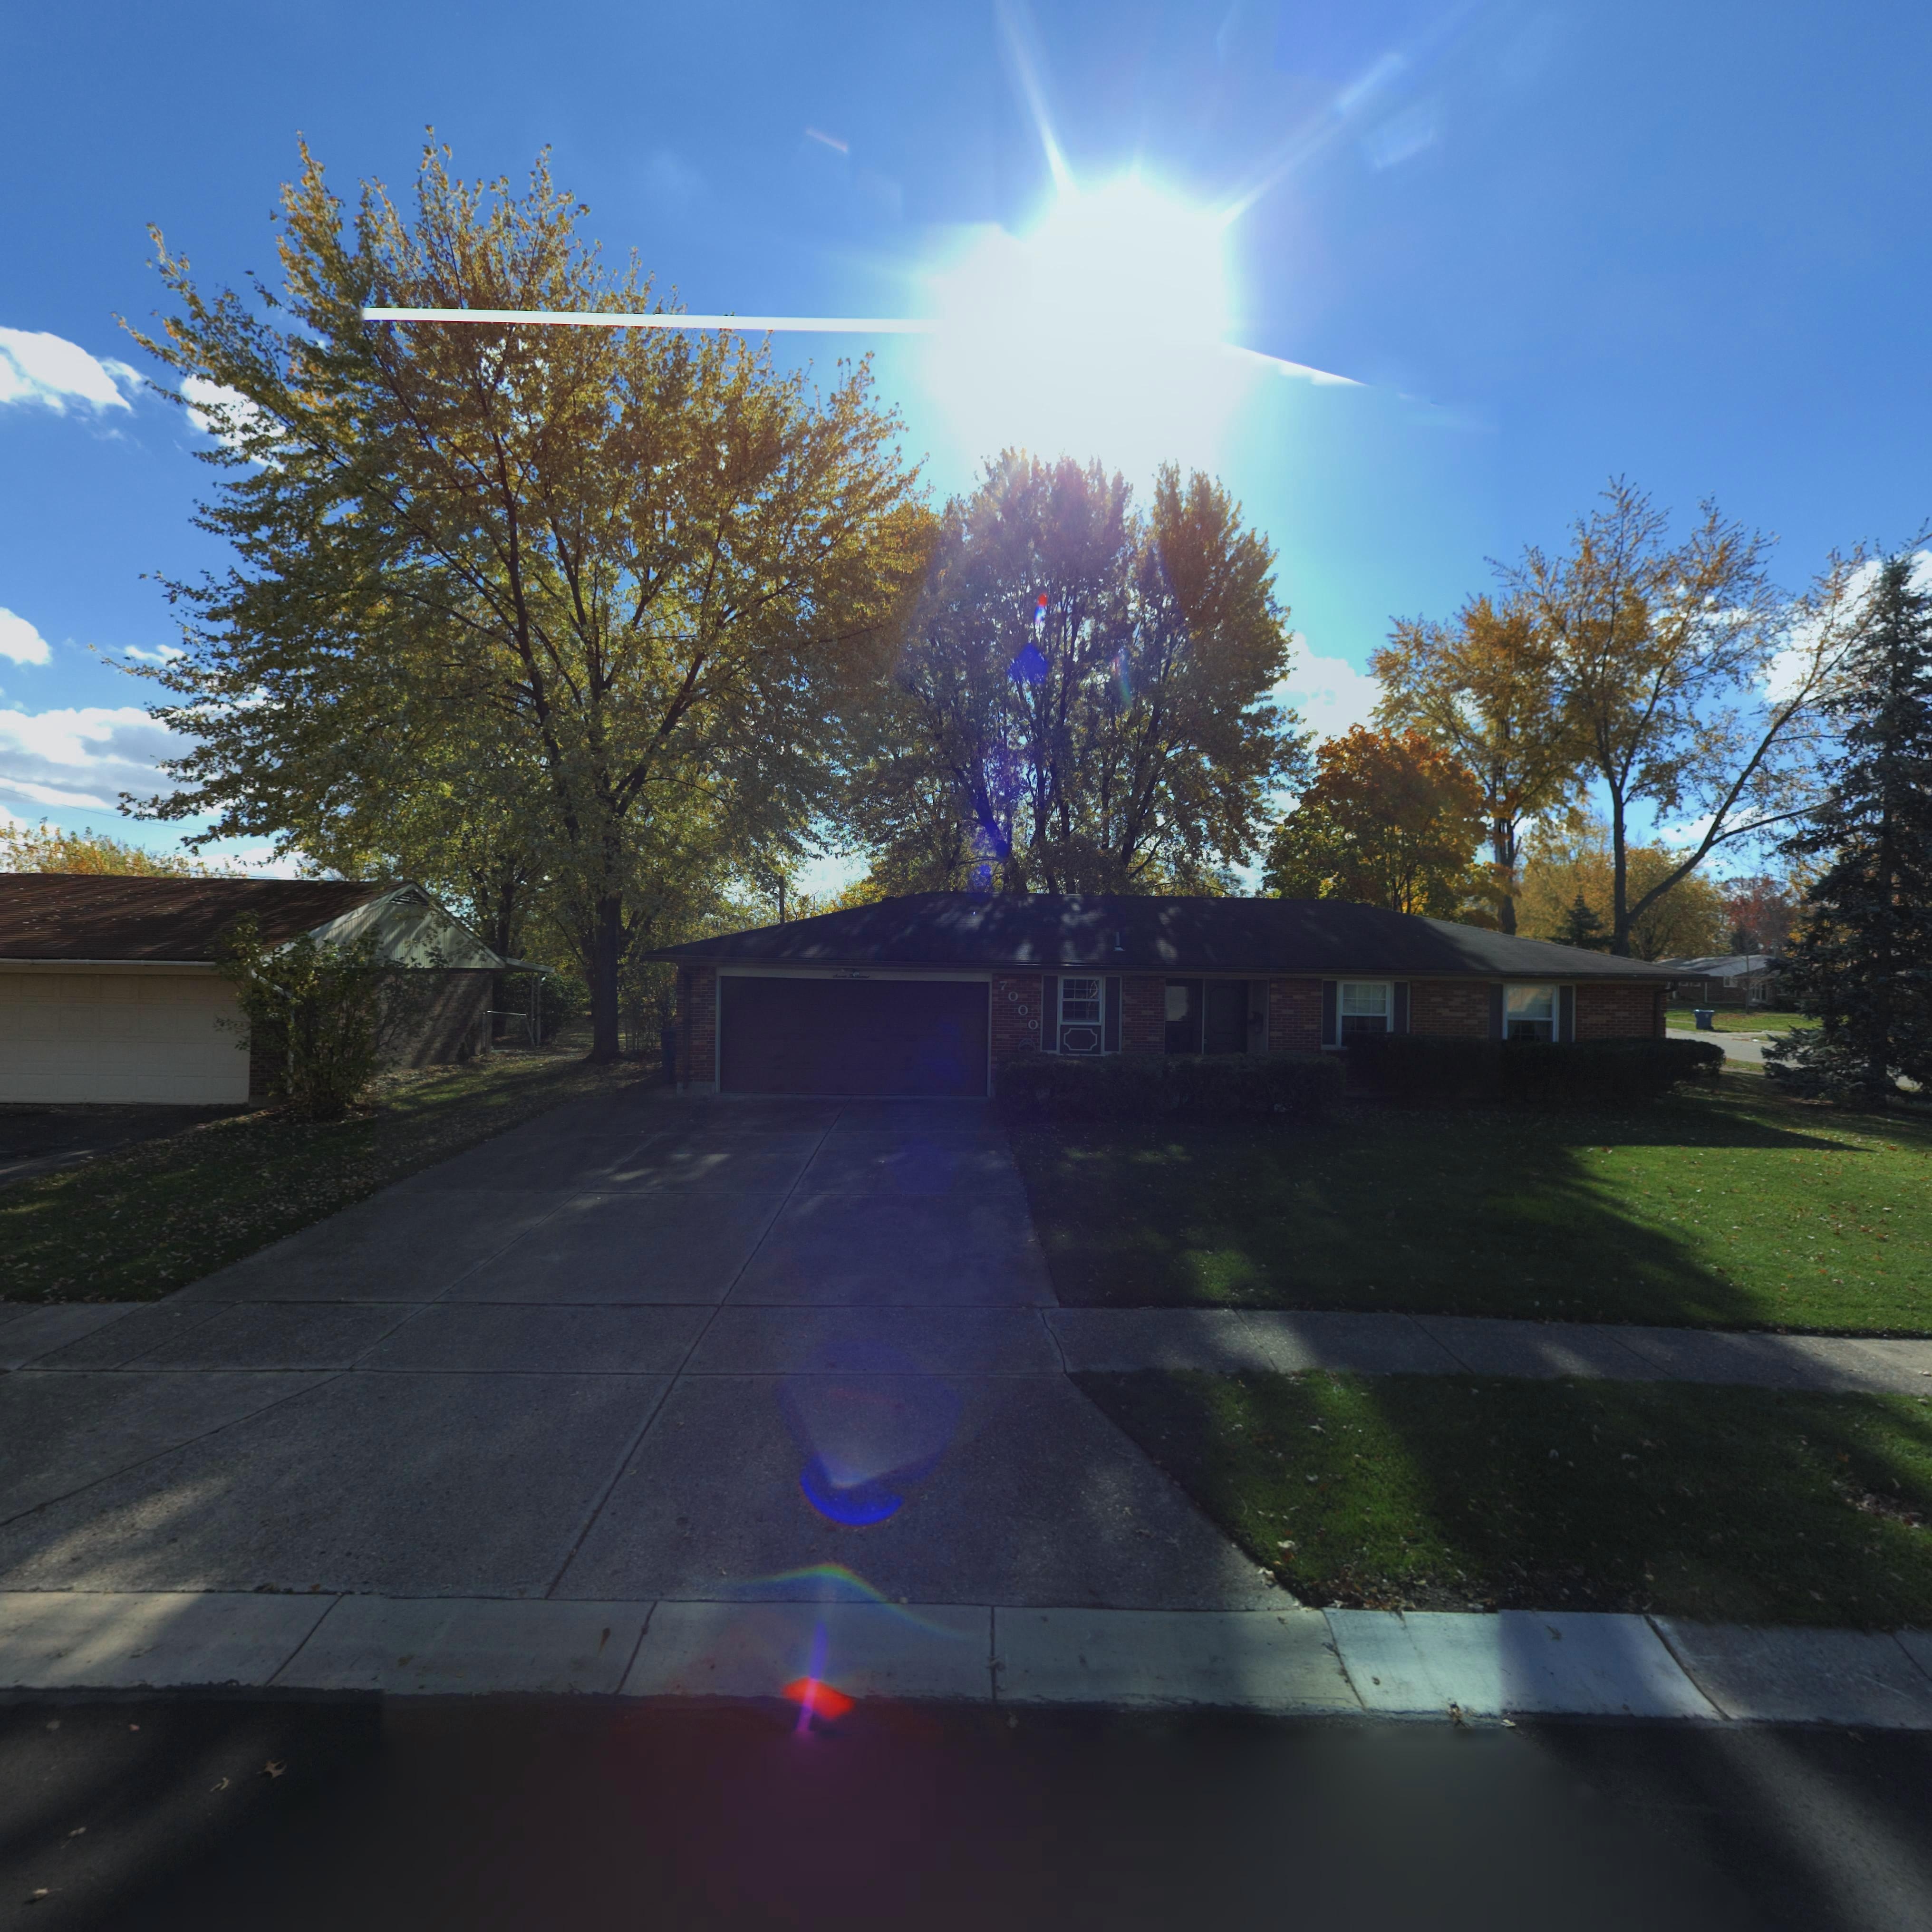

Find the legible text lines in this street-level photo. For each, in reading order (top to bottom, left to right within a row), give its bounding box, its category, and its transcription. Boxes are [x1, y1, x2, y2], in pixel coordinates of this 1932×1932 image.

[998, 980, 1040, 1032] StreetNumber: 7000